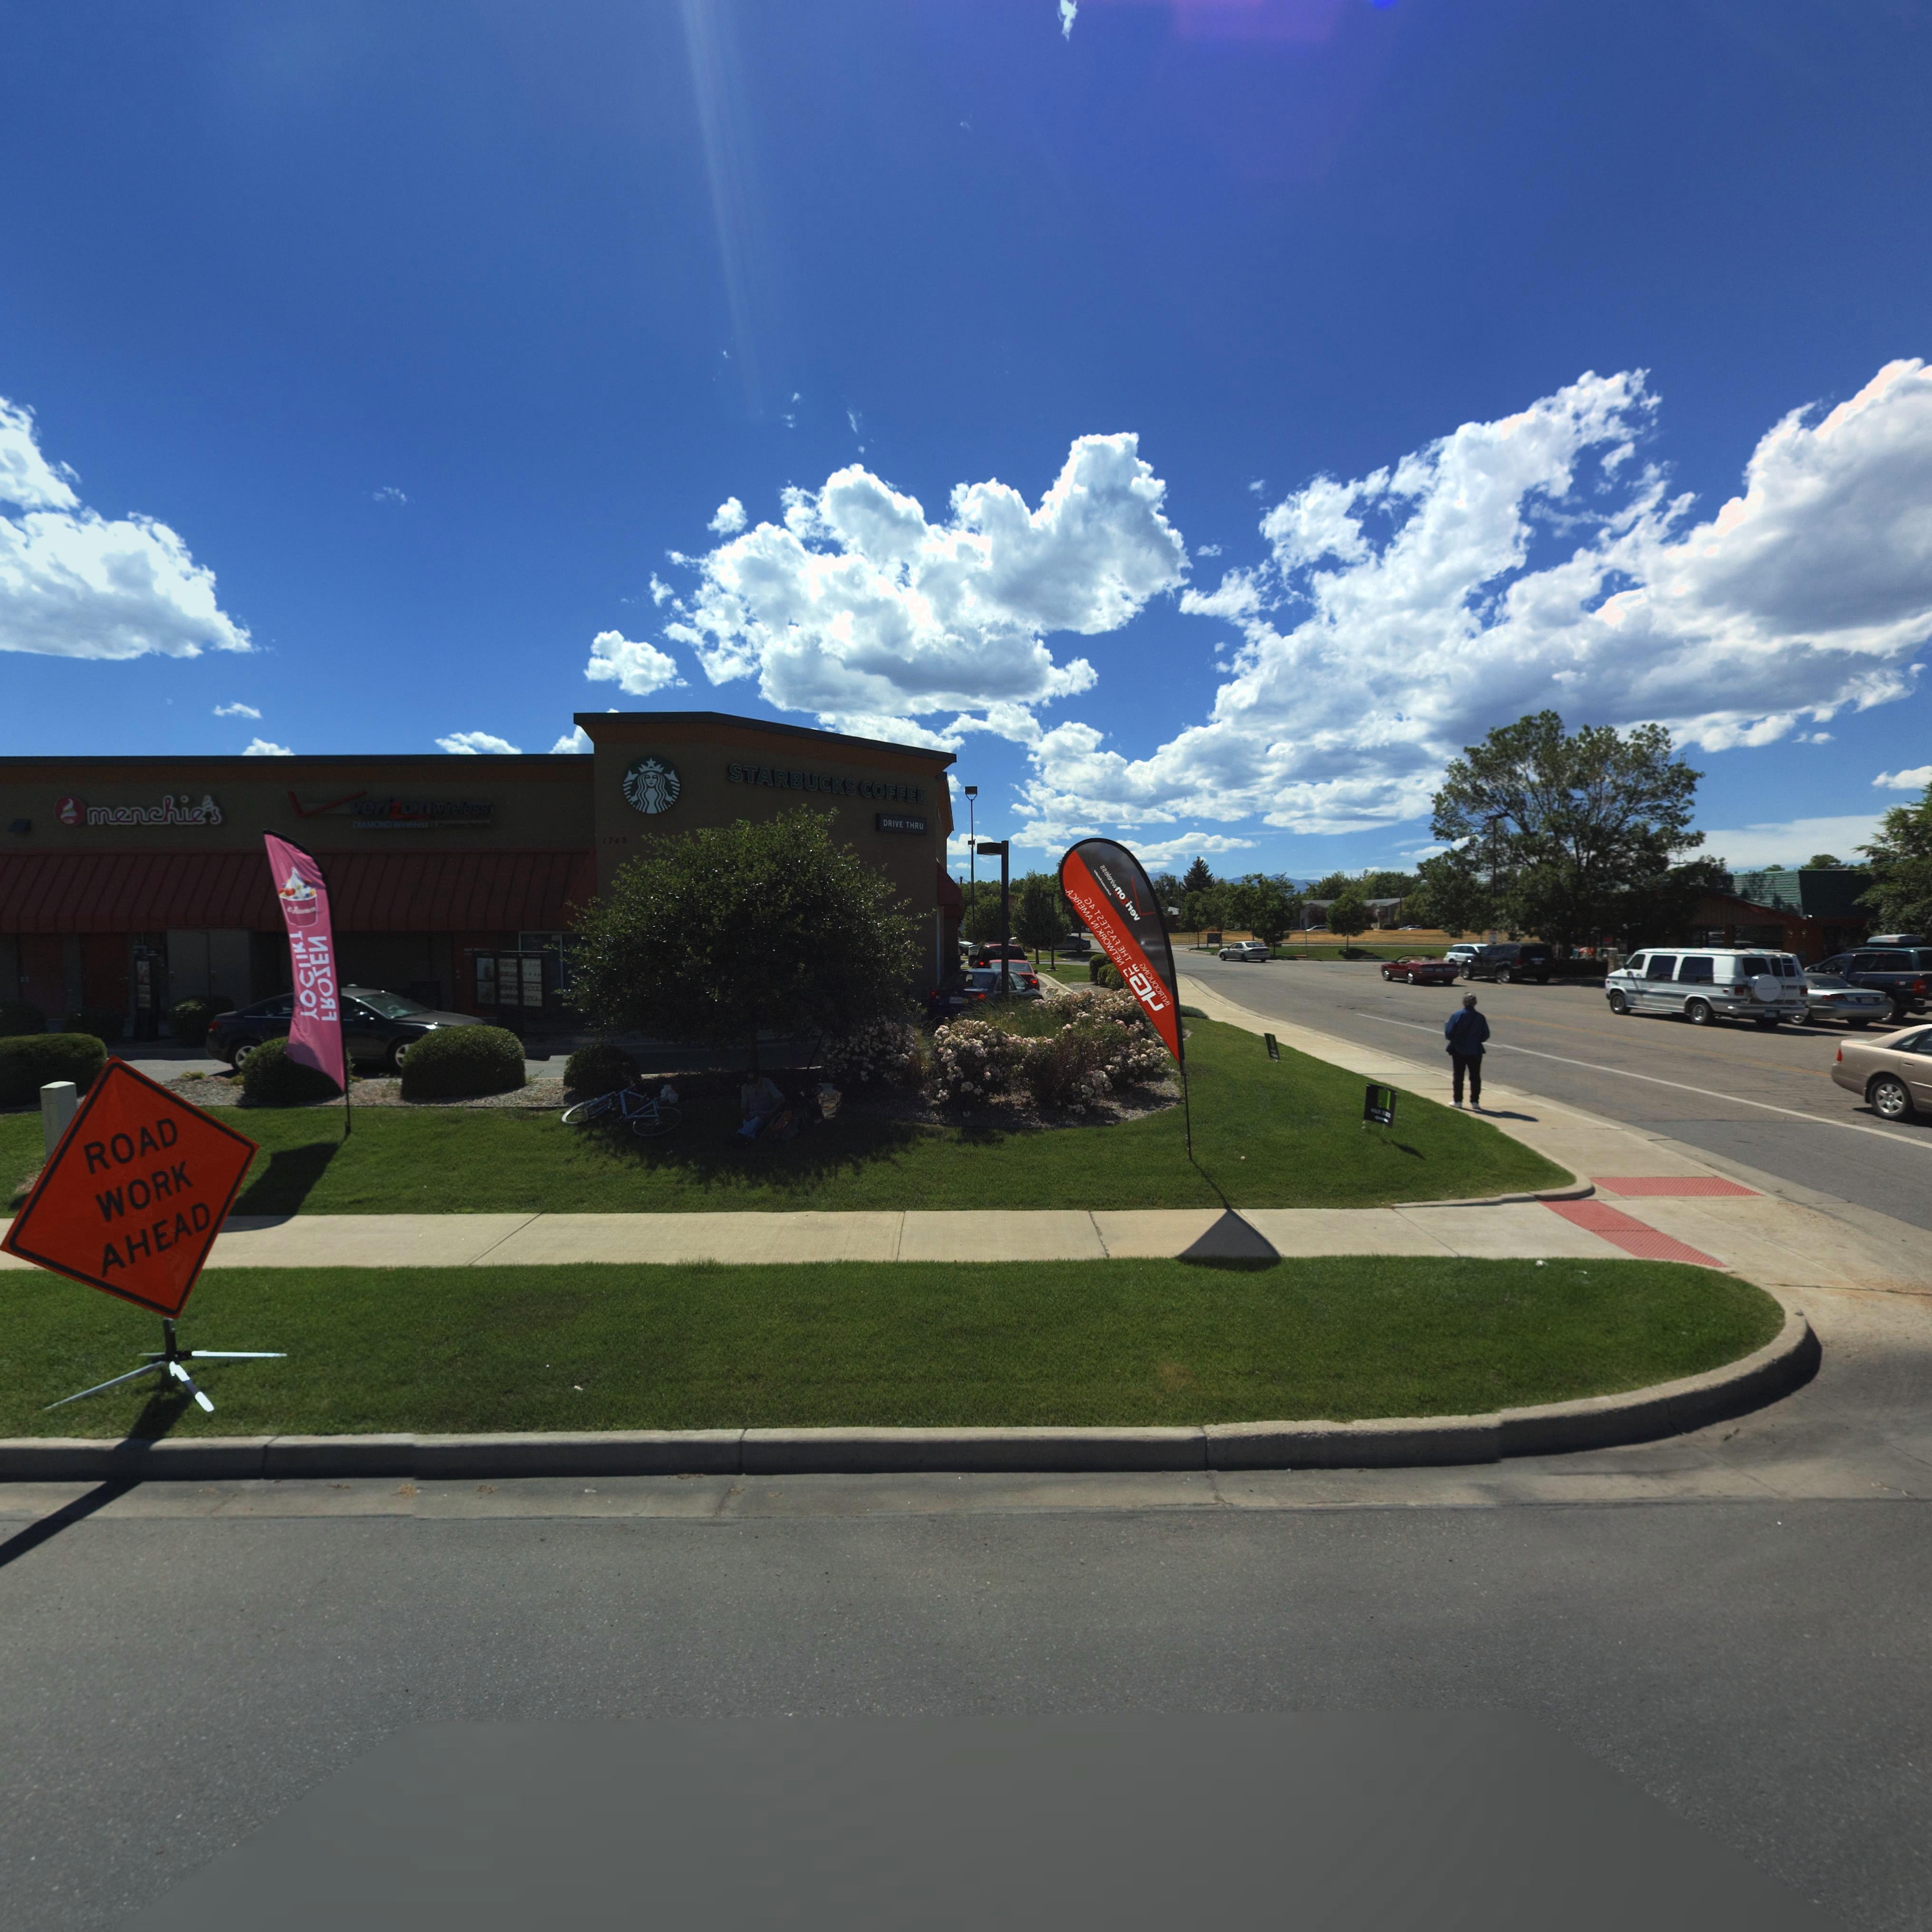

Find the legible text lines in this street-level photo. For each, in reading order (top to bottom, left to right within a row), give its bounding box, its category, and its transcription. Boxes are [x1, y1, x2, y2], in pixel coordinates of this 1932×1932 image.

[728, 762, 927, 804] BusinessName: STARKBUCKS COFFEE
[85, 794, 223, 825] BusinessName: menchie*s
[350, 800, 433, 817] BusinessName: verizon
[431, 801, 489, 815] BusinessName: wireless
[601, 836, 628, 844] StreetNumber: 1749